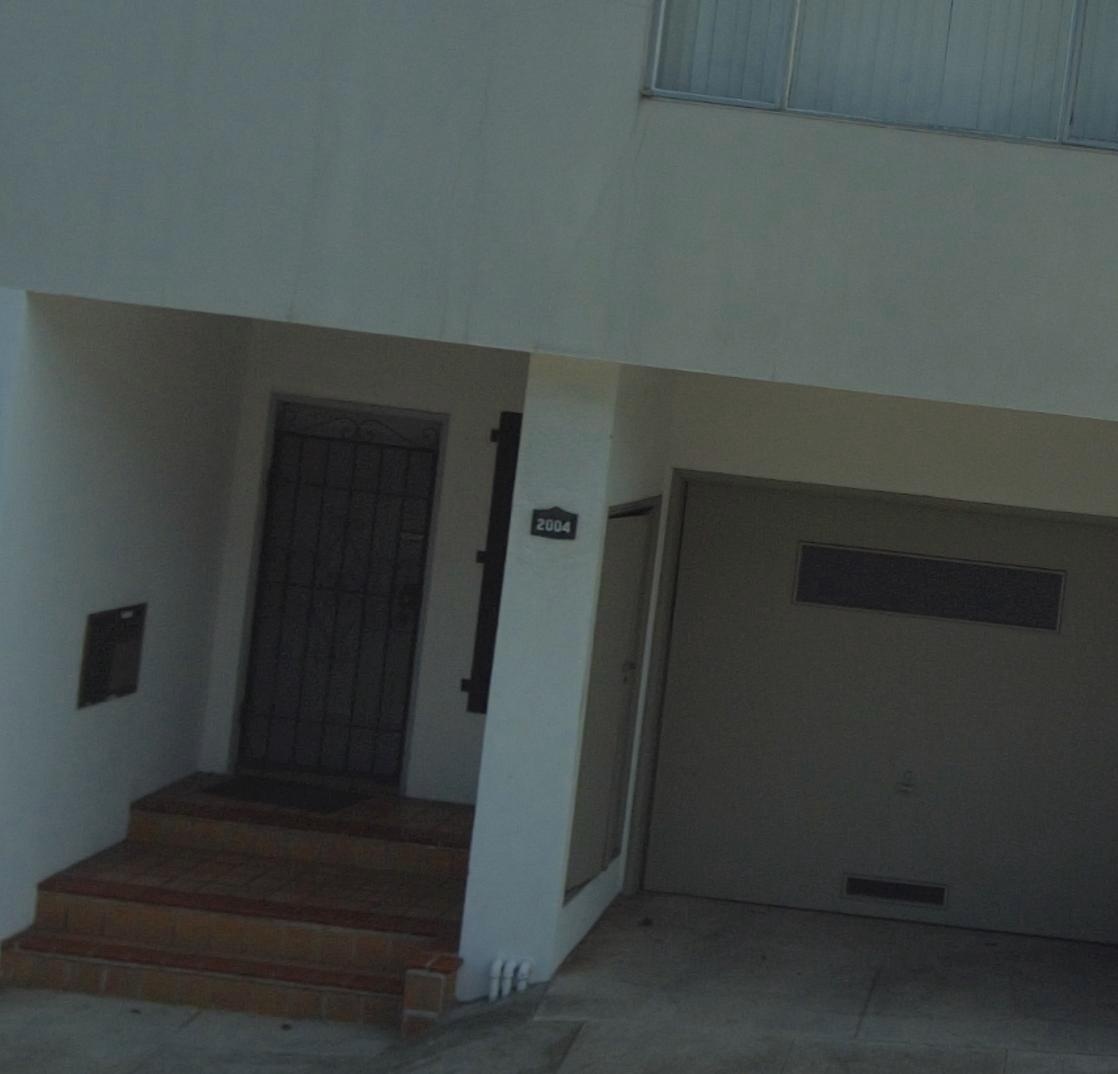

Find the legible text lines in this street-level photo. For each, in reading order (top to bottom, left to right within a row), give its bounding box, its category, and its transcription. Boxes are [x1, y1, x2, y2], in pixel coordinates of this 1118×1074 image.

[535, 516, 573, 535] StreetNumber: 2004